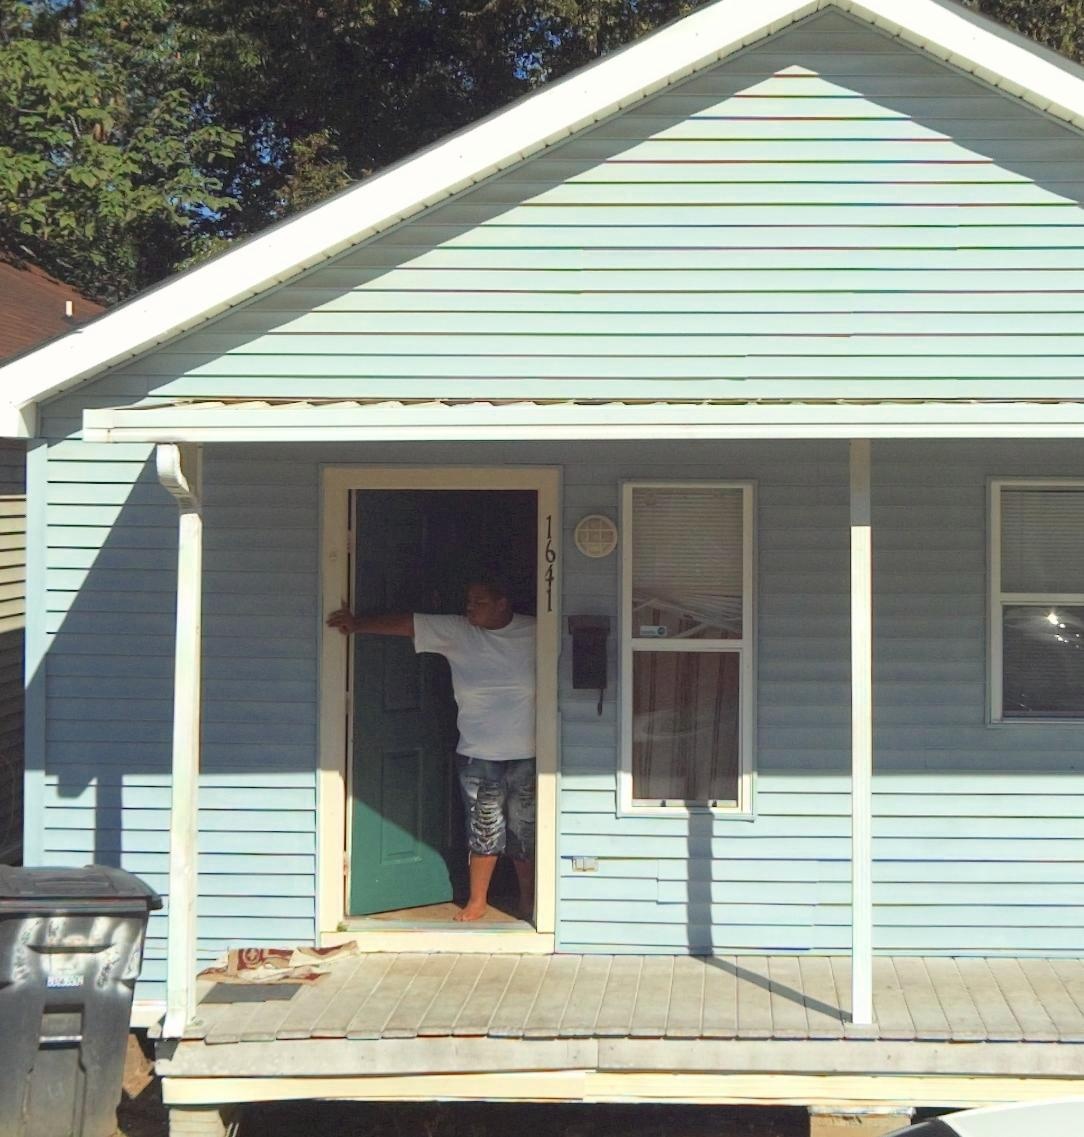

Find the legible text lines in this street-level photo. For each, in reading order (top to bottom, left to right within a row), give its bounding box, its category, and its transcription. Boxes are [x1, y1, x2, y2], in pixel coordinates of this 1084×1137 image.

[542, 512, 558, 615] StreetNumber: 1641